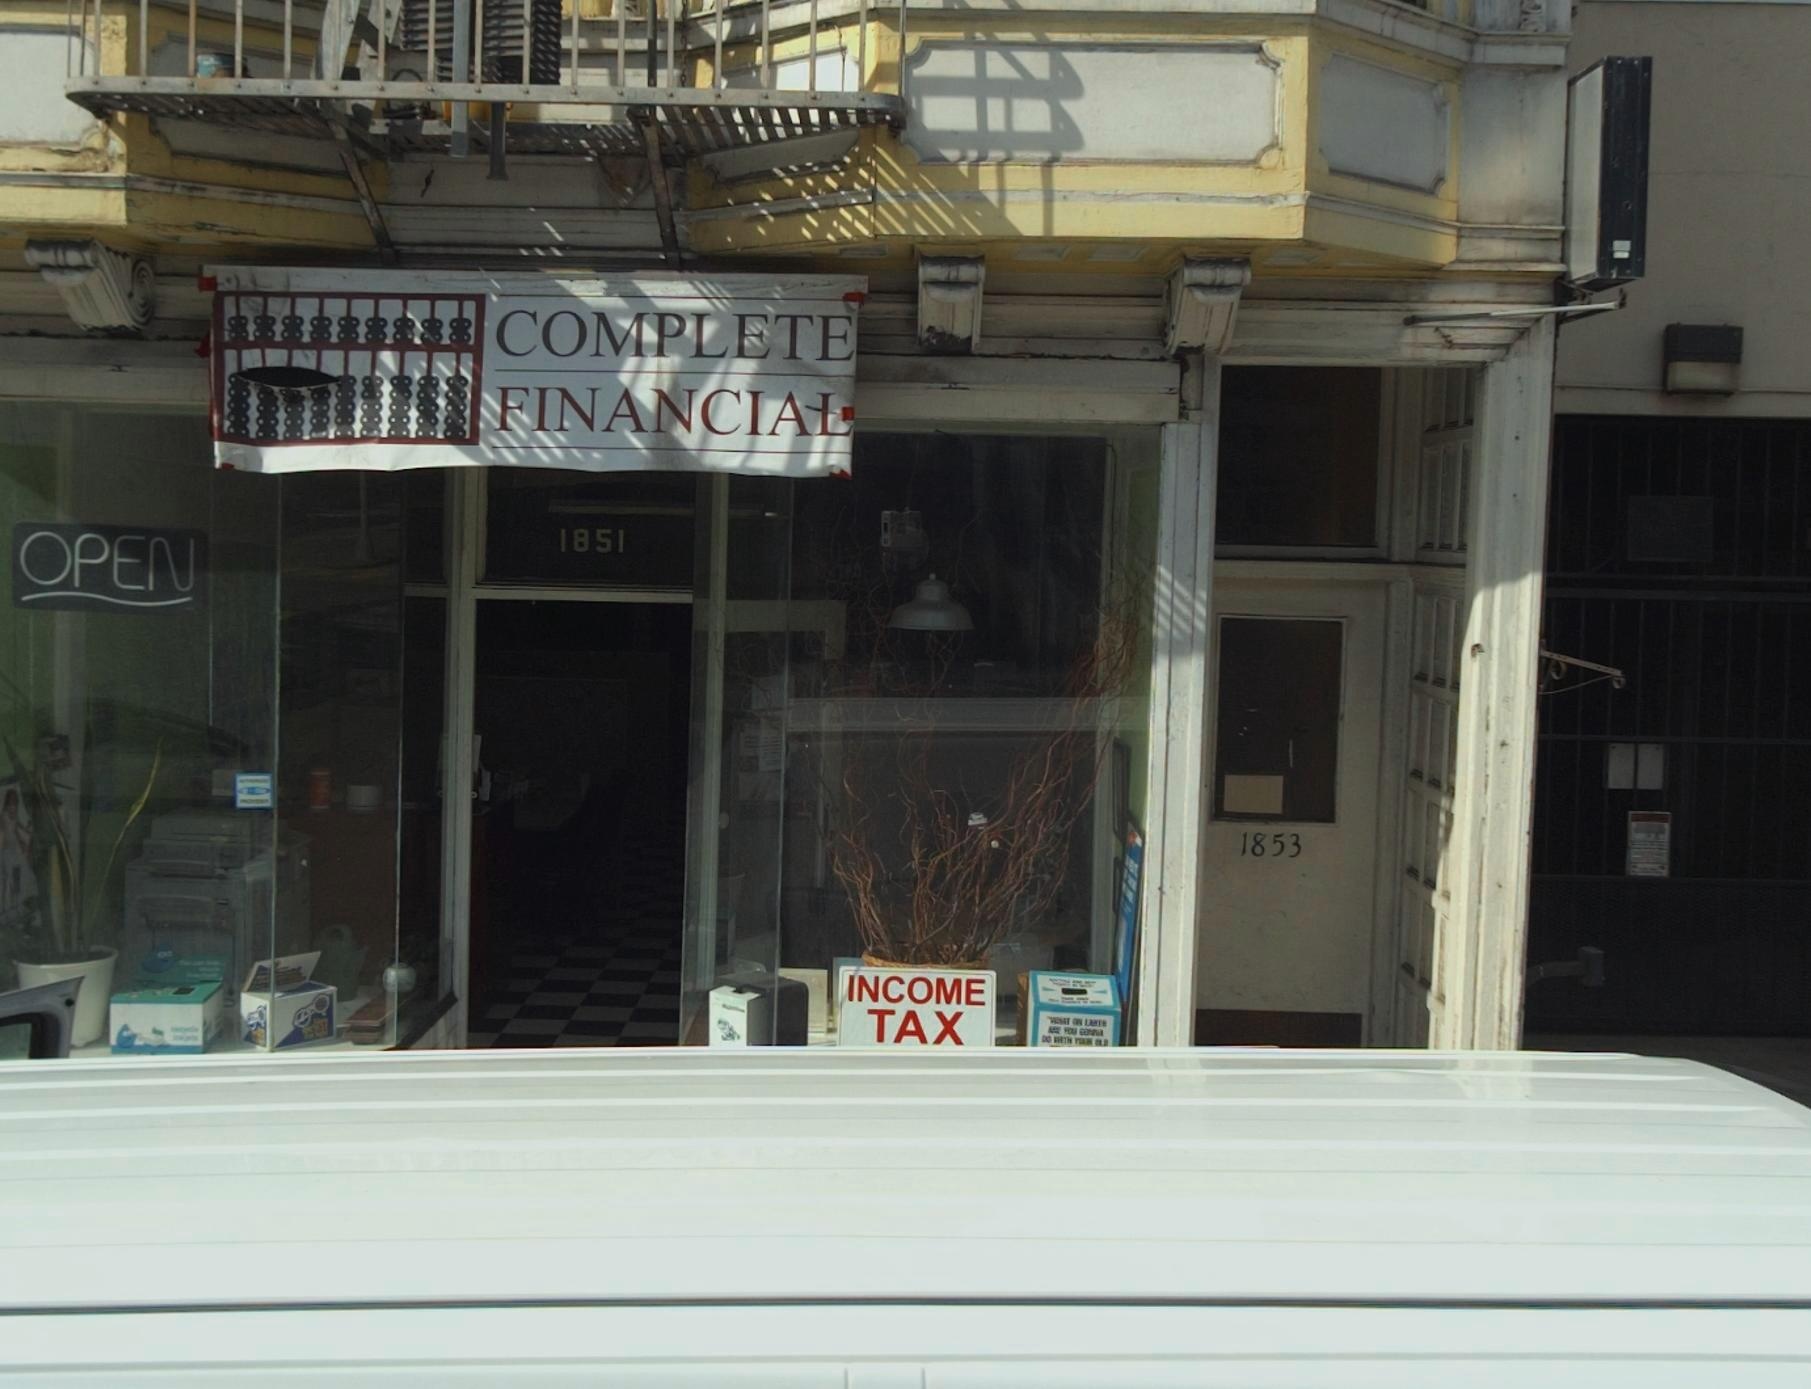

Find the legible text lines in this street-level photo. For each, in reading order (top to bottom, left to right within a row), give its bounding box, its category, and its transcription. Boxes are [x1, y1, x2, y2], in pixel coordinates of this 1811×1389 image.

[492, 306, 857, 364] BusinessName: COMPLETE
[492, 381, 854, 440] BusinessName: FINANCIAL
[16, 528, 198, 595] None: OPEN
[557, 526, 627, 556] StreetNumber: 1851
[1238, 828, 1304, 861] StreetNumber: 1853
[845, 970, 988, 1009] None: INCOME
[863, 1005, 969, 1048] None: TAX